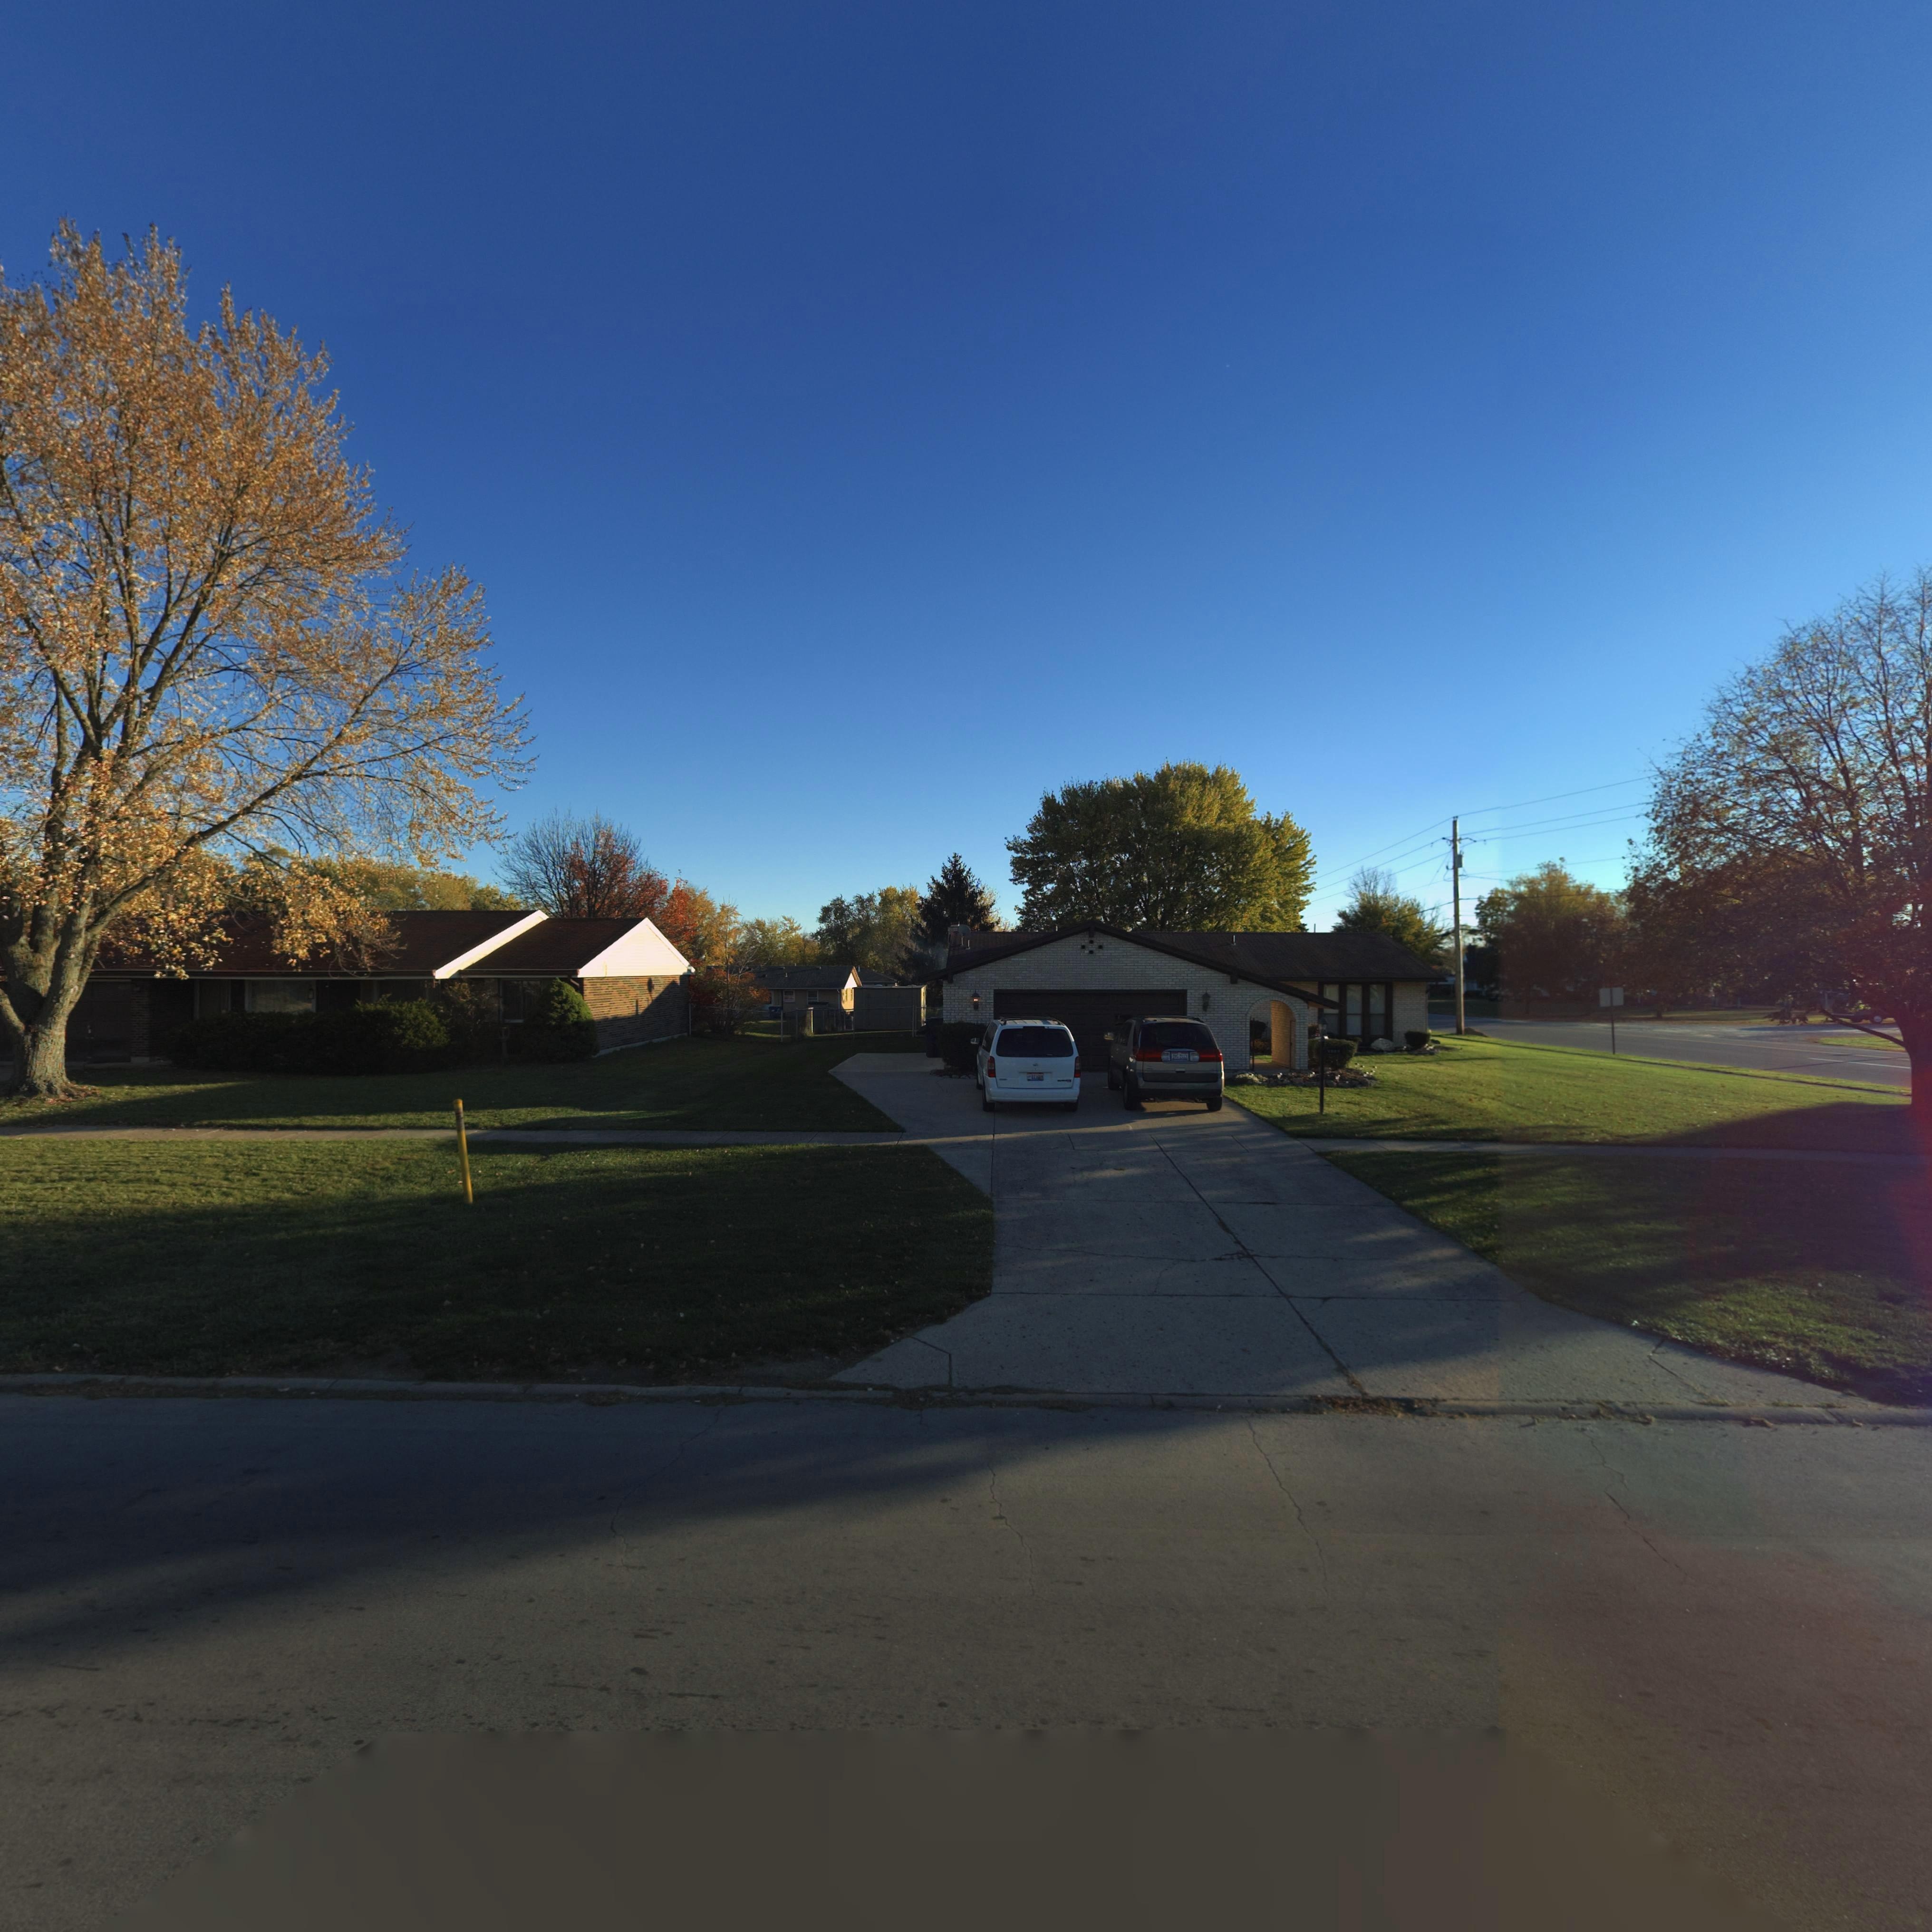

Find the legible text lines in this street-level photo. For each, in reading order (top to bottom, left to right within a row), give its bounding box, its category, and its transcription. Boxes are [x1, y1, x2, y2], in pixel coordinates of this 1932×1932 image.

[117, 983, 132, 990] StreetNumber: 4***